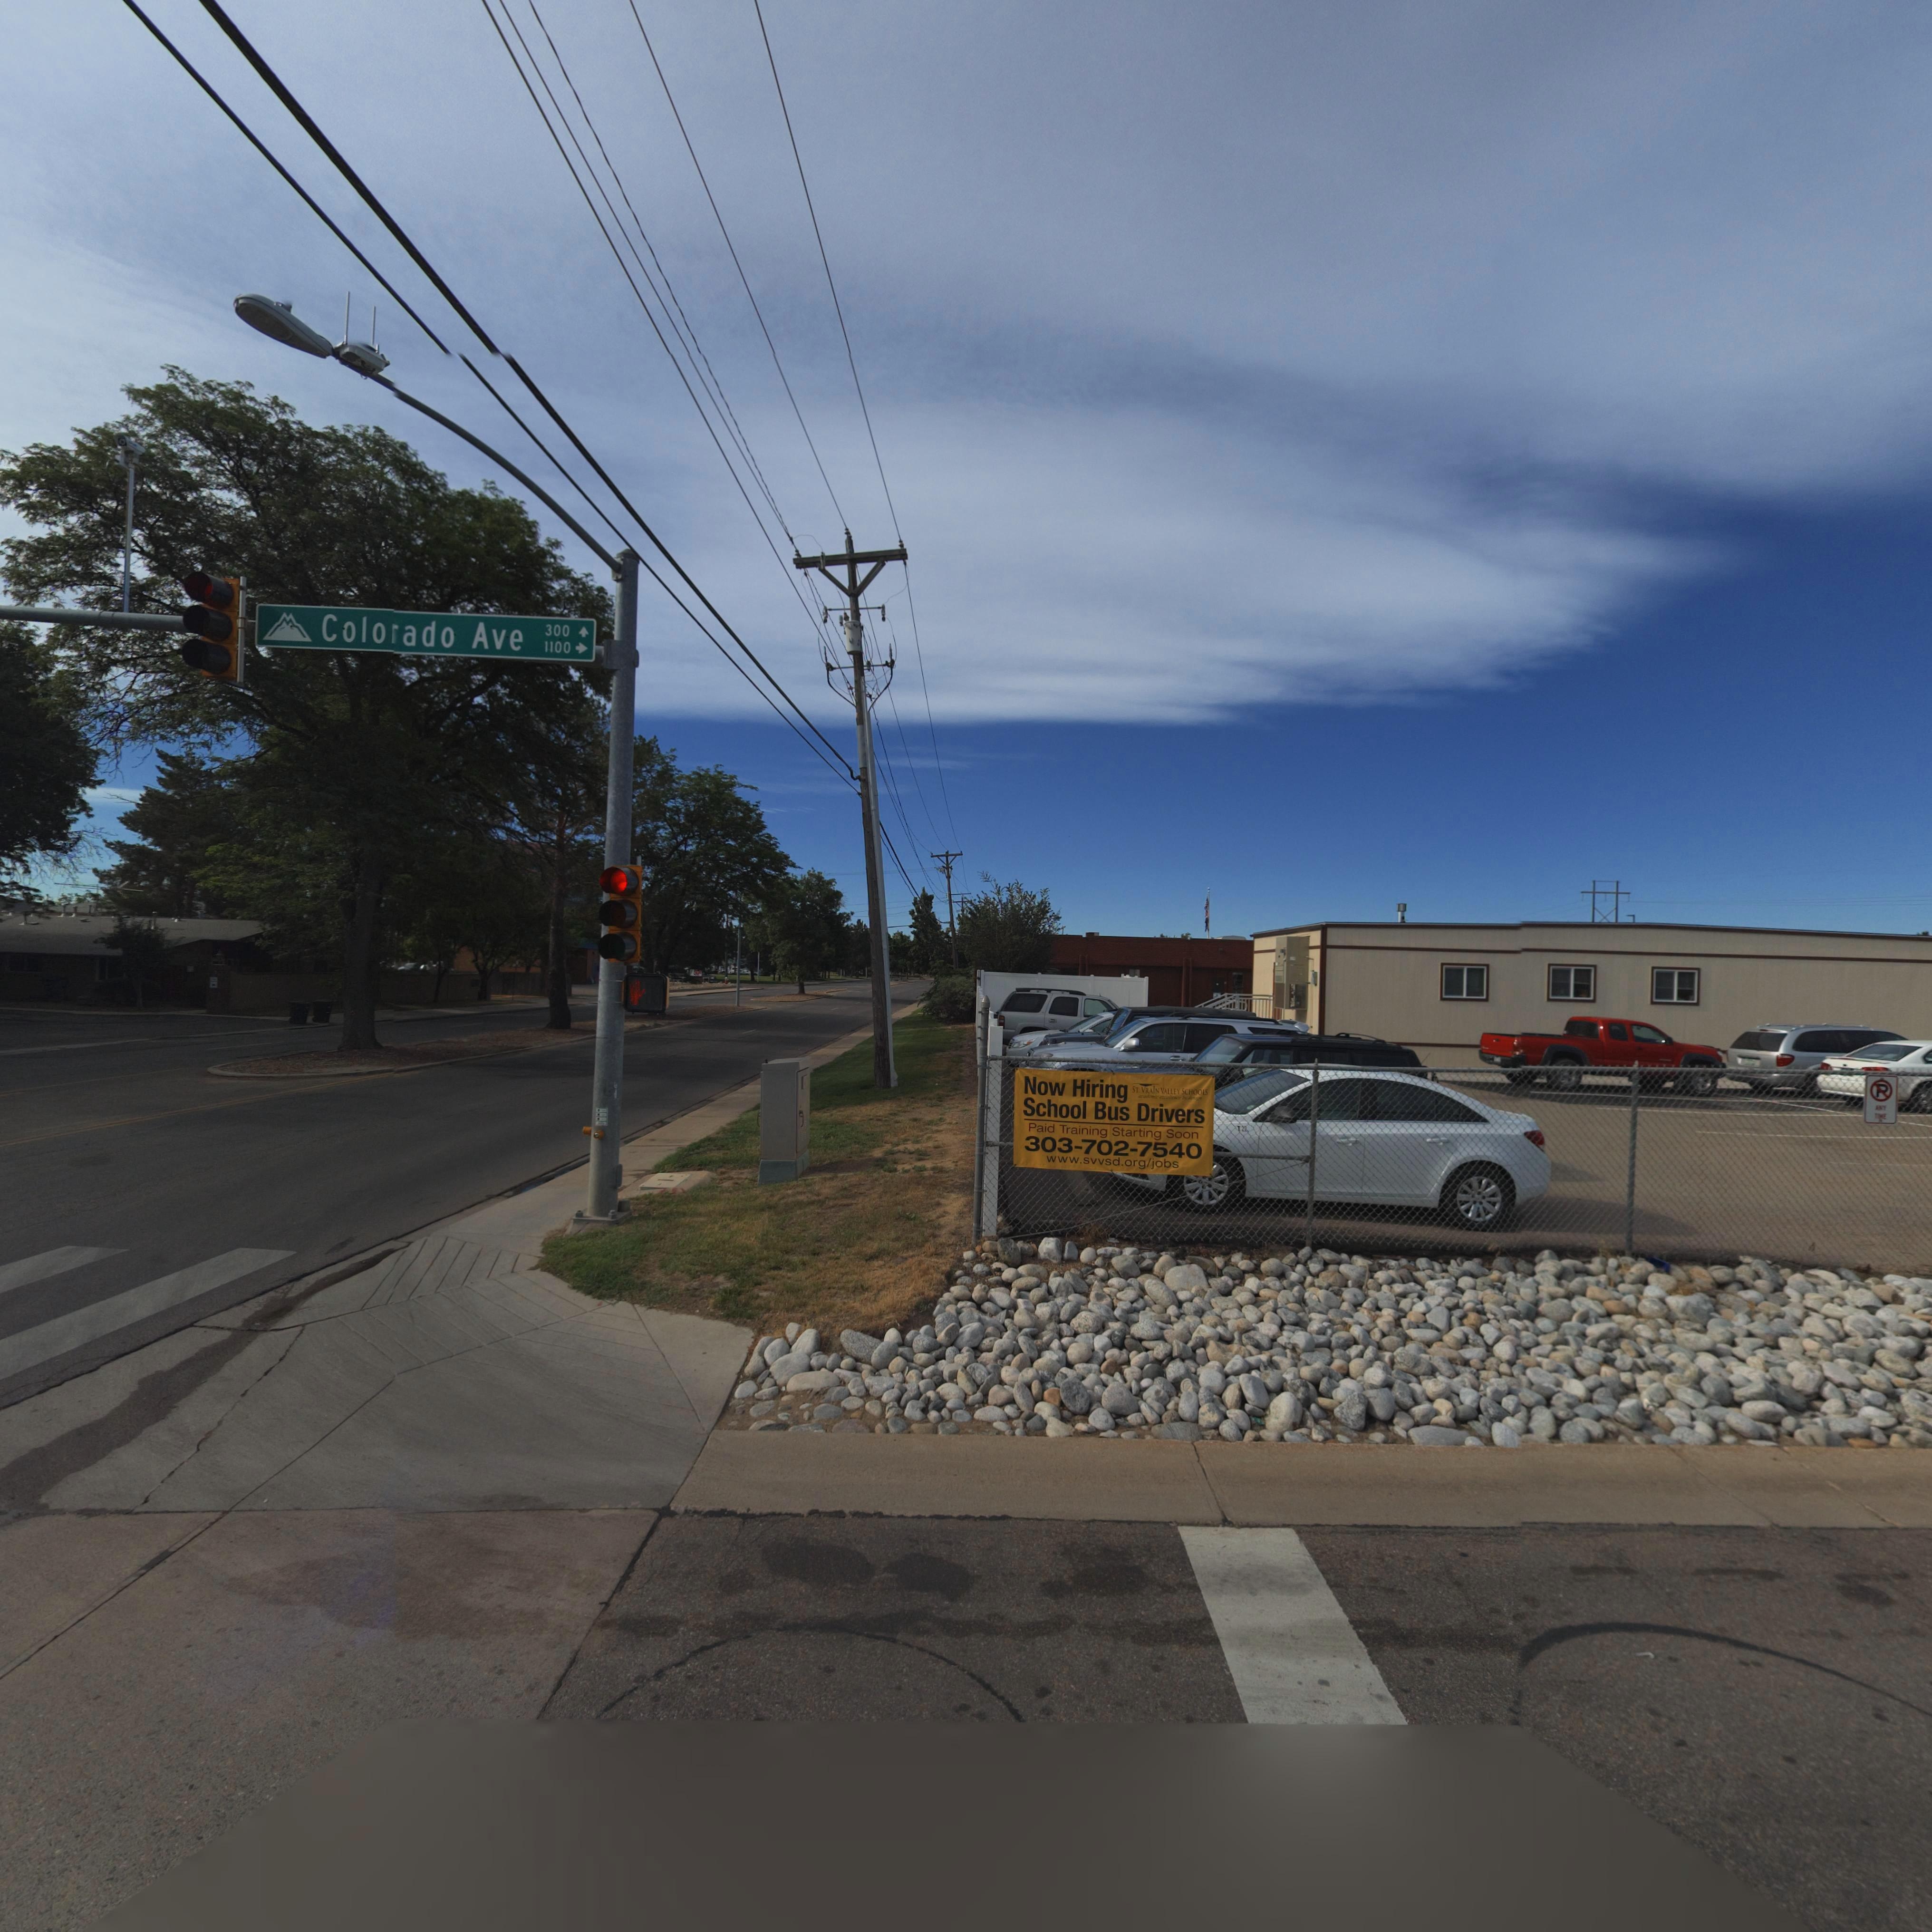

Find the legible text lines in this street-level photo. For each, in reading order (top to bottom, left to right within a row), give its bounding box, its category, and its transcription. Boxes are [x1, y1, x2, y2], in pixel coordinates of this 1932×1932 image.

[321, 613, 524, 651] StreetName: Colo*ado Ave
[545, 623, 570, 637] StreetNumberRange: 300
[544, 640, 589, 654] StreetNumberRange: 1100->